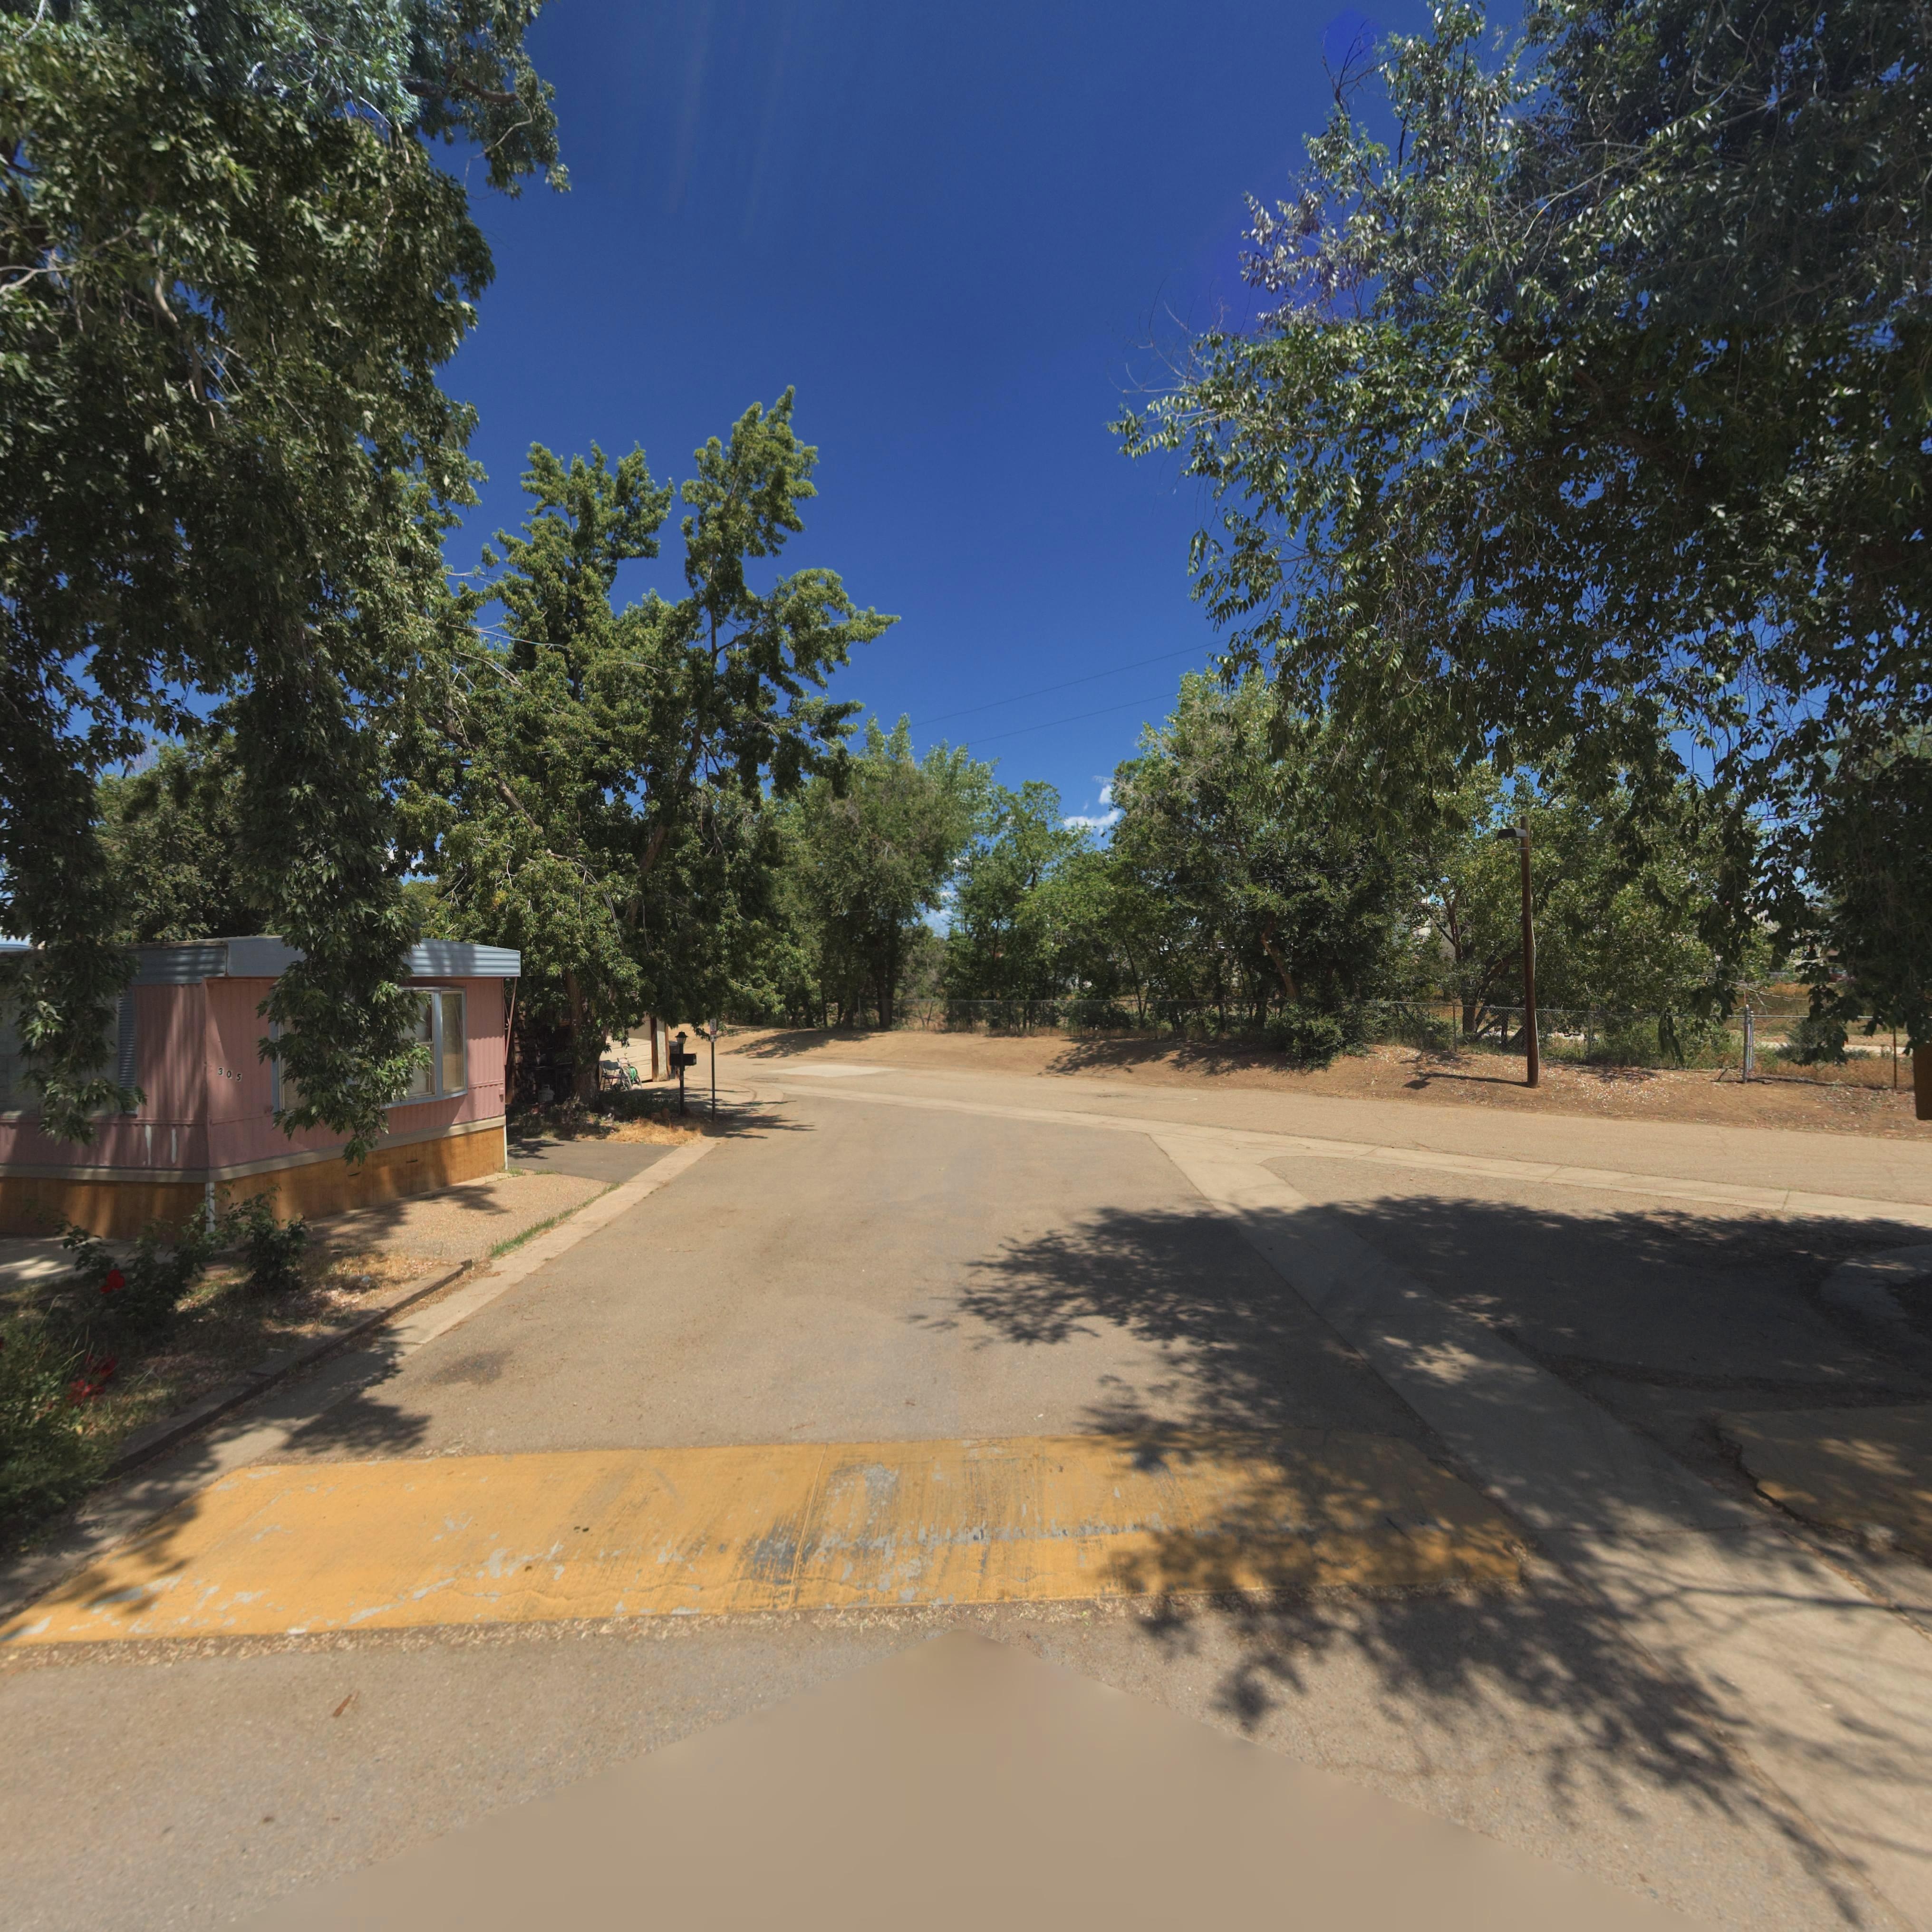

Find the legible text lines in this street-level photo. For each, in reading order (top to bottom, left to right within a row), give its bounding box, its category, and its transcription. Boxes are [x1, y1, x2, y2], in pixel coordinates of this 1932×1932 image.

[217, 1067, 242, 1081] StreetNumber: 305